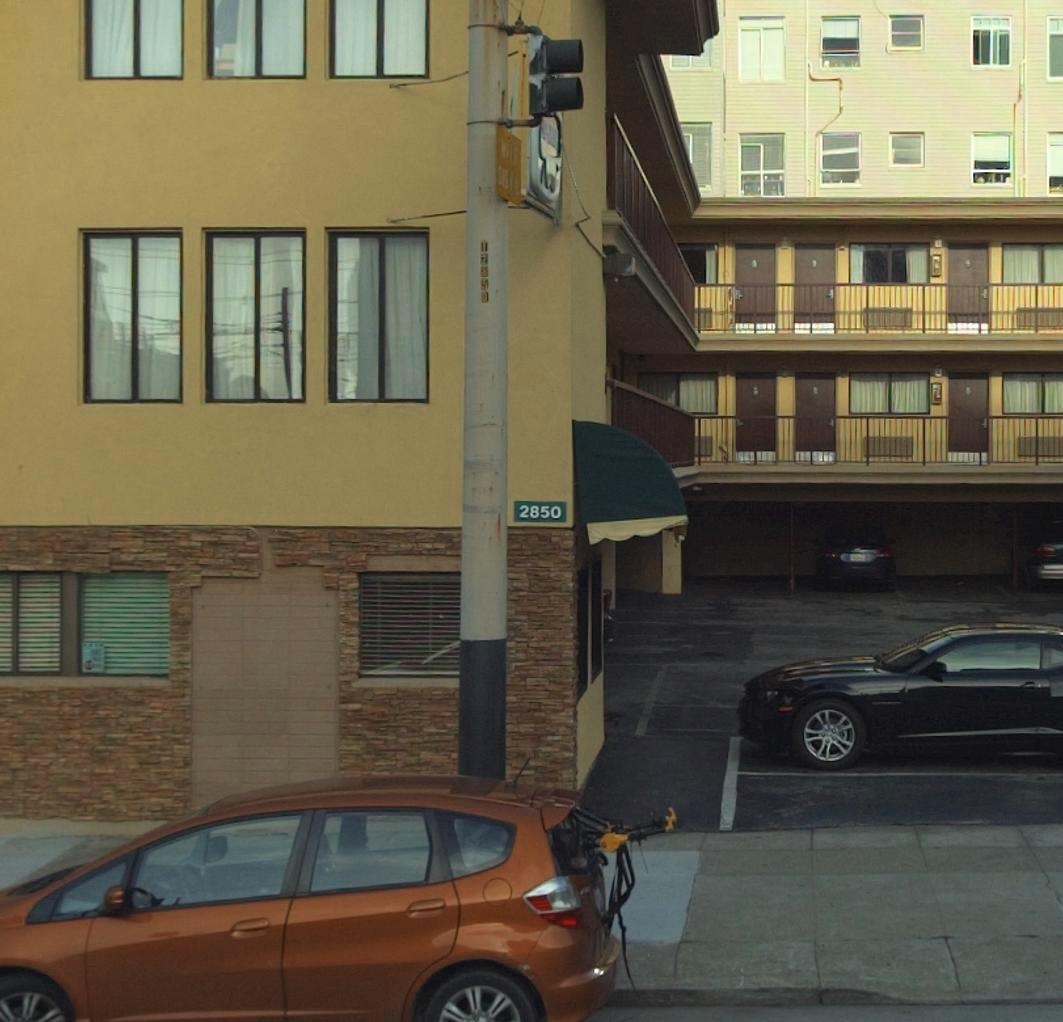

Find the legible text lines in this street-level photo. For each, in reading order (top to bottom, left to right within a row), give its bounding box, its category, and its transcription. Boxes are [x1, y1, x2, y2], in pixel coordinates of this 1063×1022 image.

[478, 238, 490, 304] None: T2*50
[517, 503, 565, 522] StreetNumber: 2850